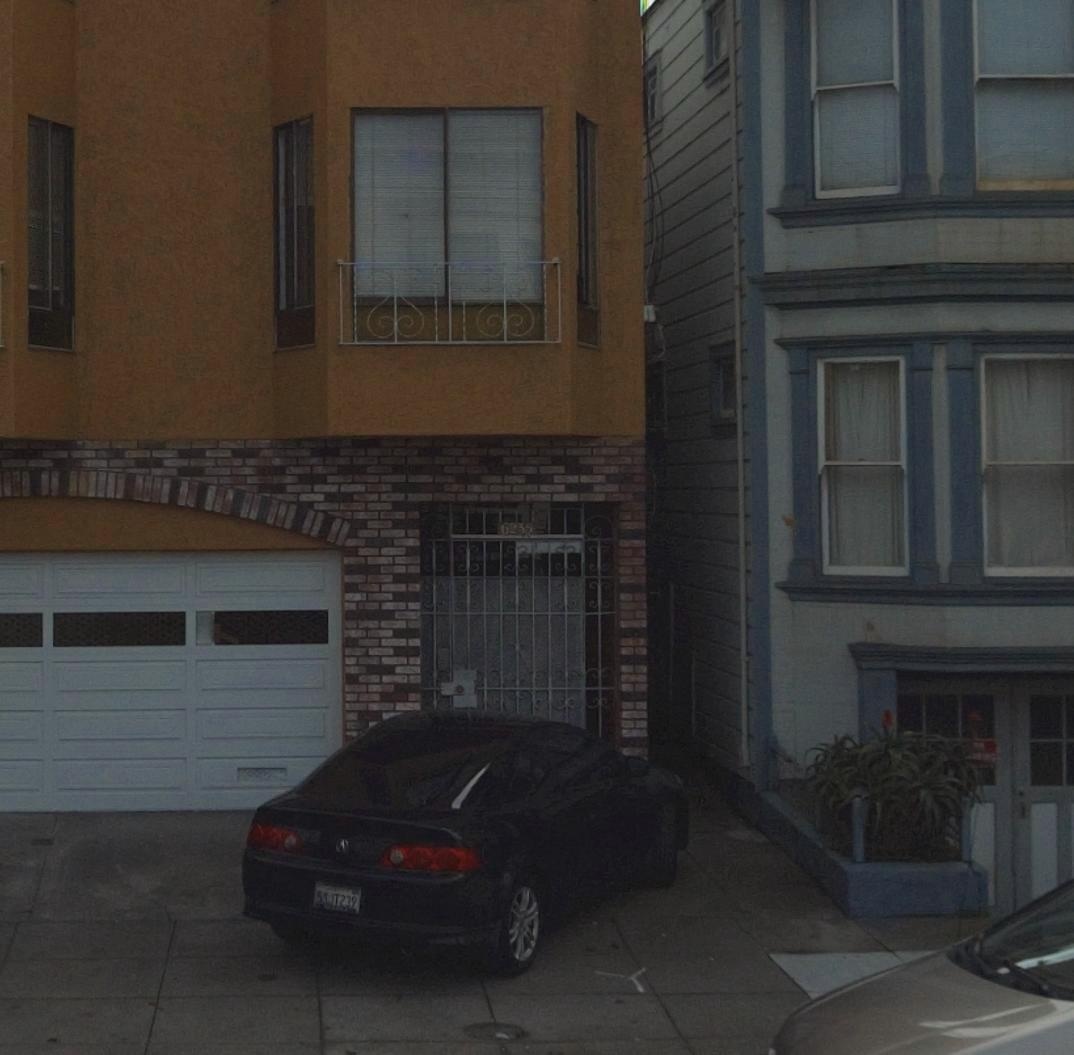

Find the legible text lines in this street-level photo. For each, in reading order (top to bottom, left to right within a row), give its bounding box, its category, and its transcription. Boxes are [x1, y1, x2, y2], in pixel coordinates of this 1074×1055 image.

[499, 521, 534, 536] StreetNumber: 6235
[315, 890, 358, 910] None: SS*T239